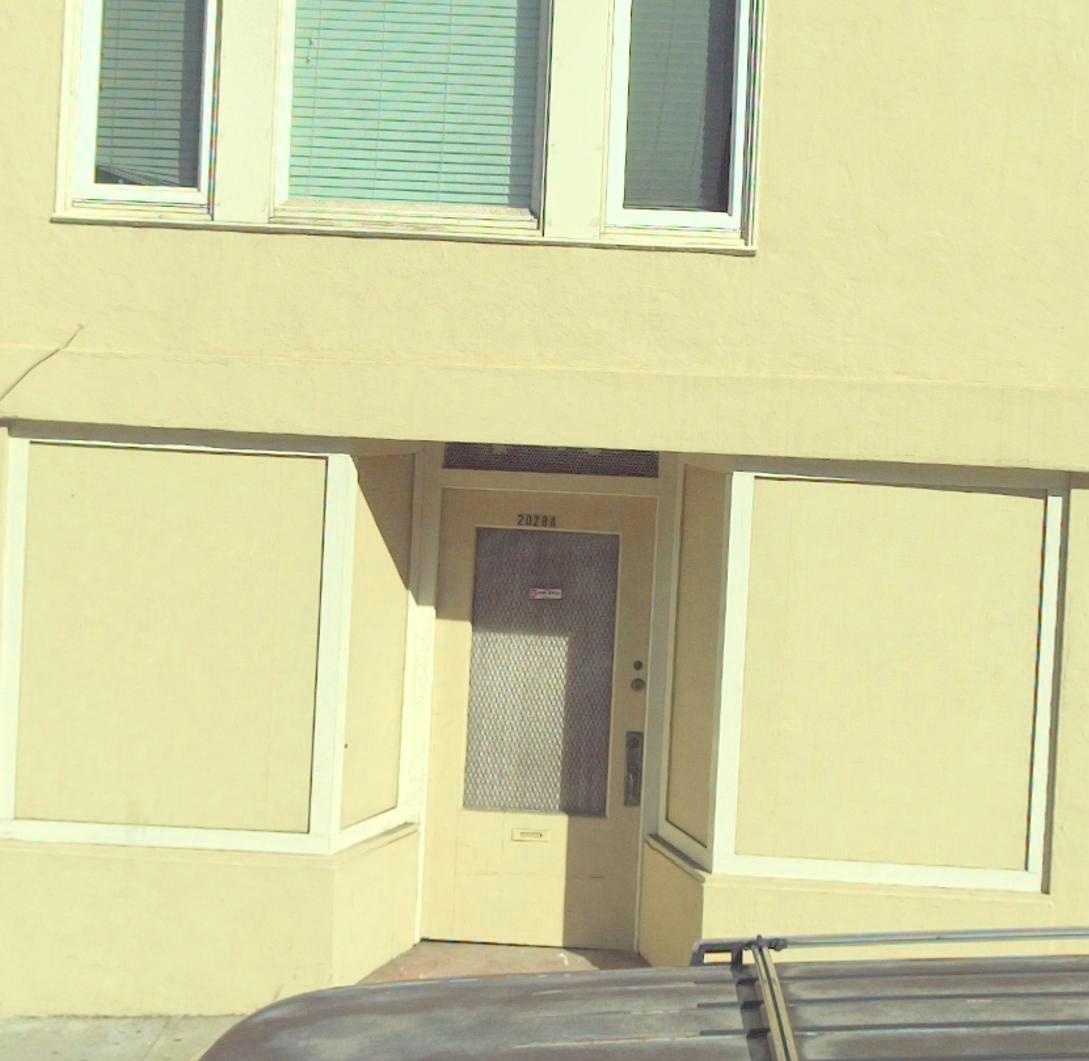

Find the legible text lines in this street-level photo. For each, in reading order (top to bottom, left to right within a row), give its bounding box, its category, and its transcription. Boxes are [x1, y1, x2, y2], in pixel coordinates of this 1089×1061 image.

[515, 512, 557, 529] StreetNumber: 2028A